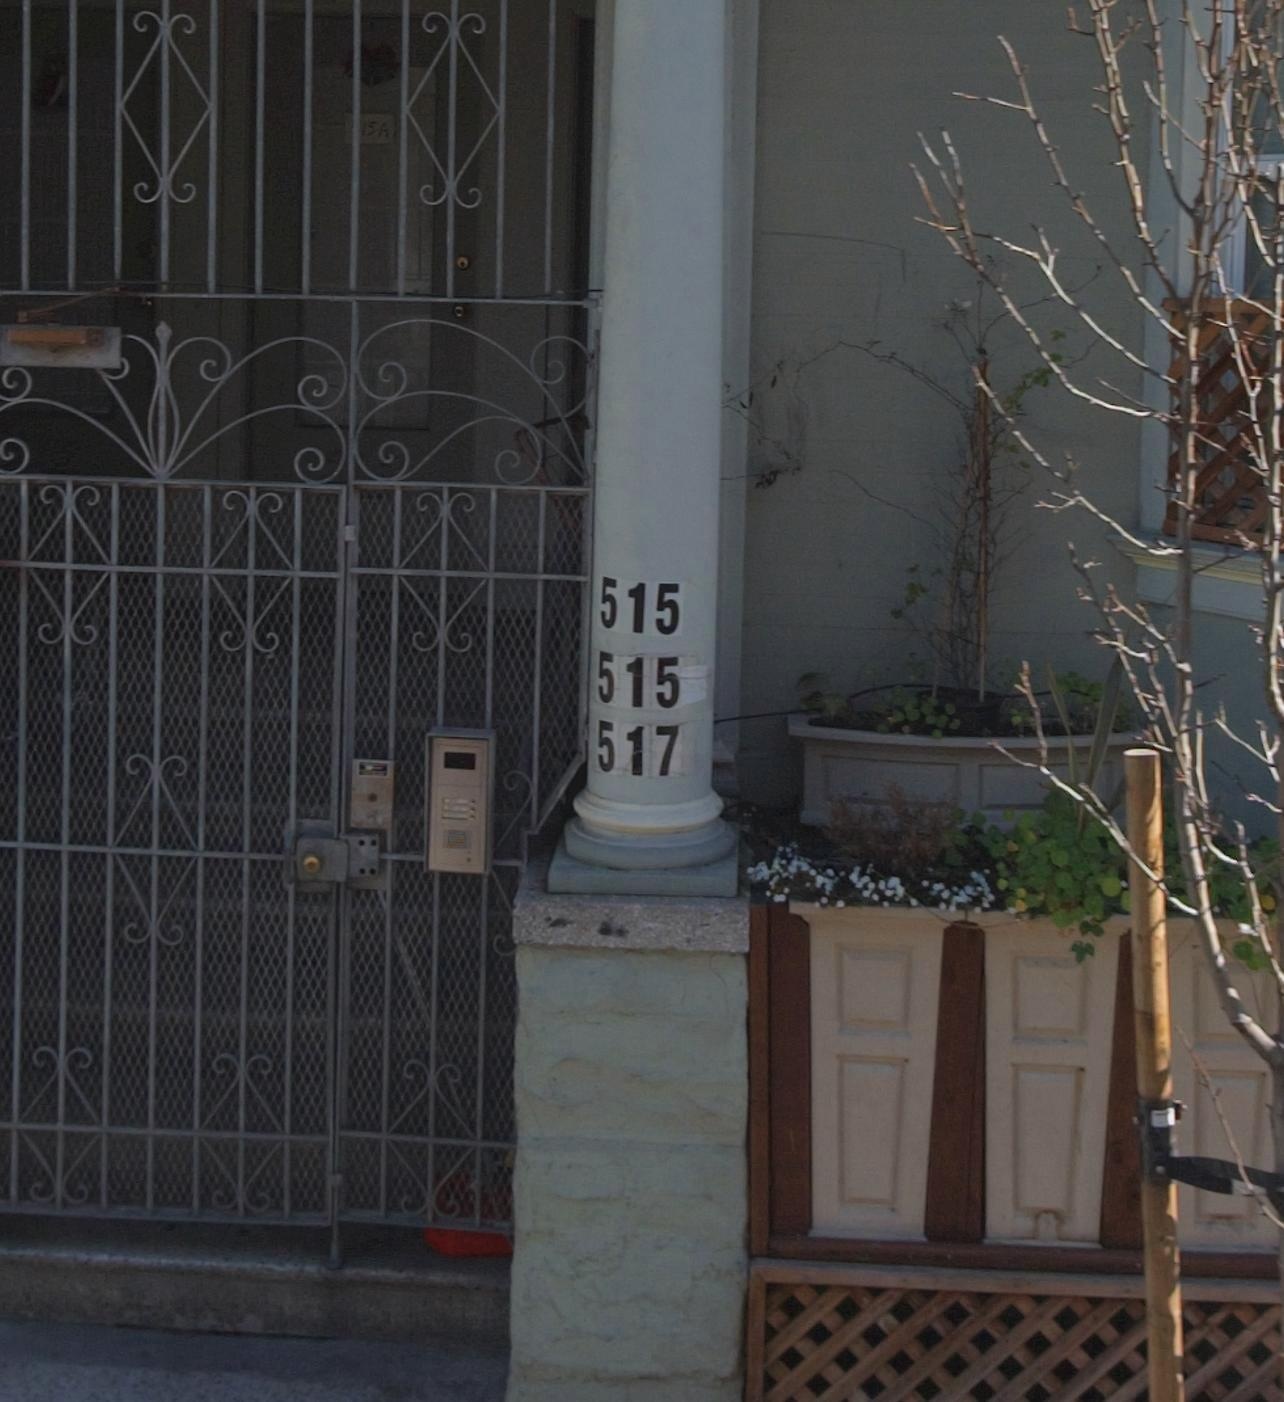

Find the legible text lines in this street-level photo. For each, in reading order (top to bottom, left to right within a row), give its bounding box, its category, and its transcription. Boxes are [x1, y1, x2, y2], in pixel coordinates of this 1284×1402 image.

[360, 119, 390, 139] StreetNumber: 15A
[599, 575, 681, 636] StreetNumber: 515
[596, 648, 682, 709] StreetNumber: 515
[596, 718, 681, 777] StreetNumber: 517